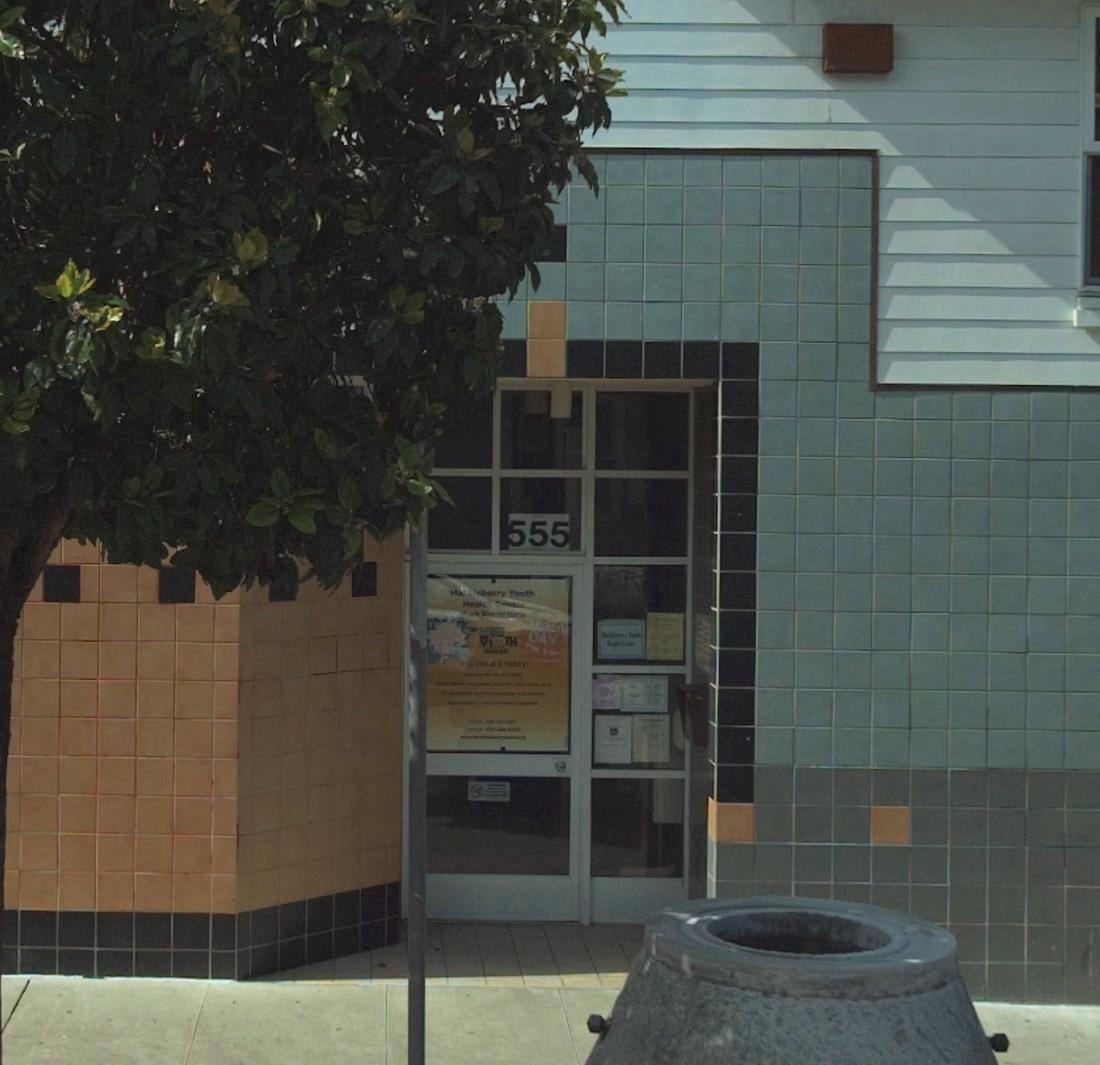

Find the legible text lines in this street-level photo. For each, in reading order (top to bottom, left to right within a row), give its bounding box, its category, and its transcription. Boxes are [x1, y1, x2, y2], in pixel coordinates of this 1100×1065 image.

[505, 518, 571, 550] StreetNumber: 555
[480, 587, 537, 599] None: berry Youth
[502, 634, 519, 649] None: TH
[526, 627, 562, 650] None: DAY